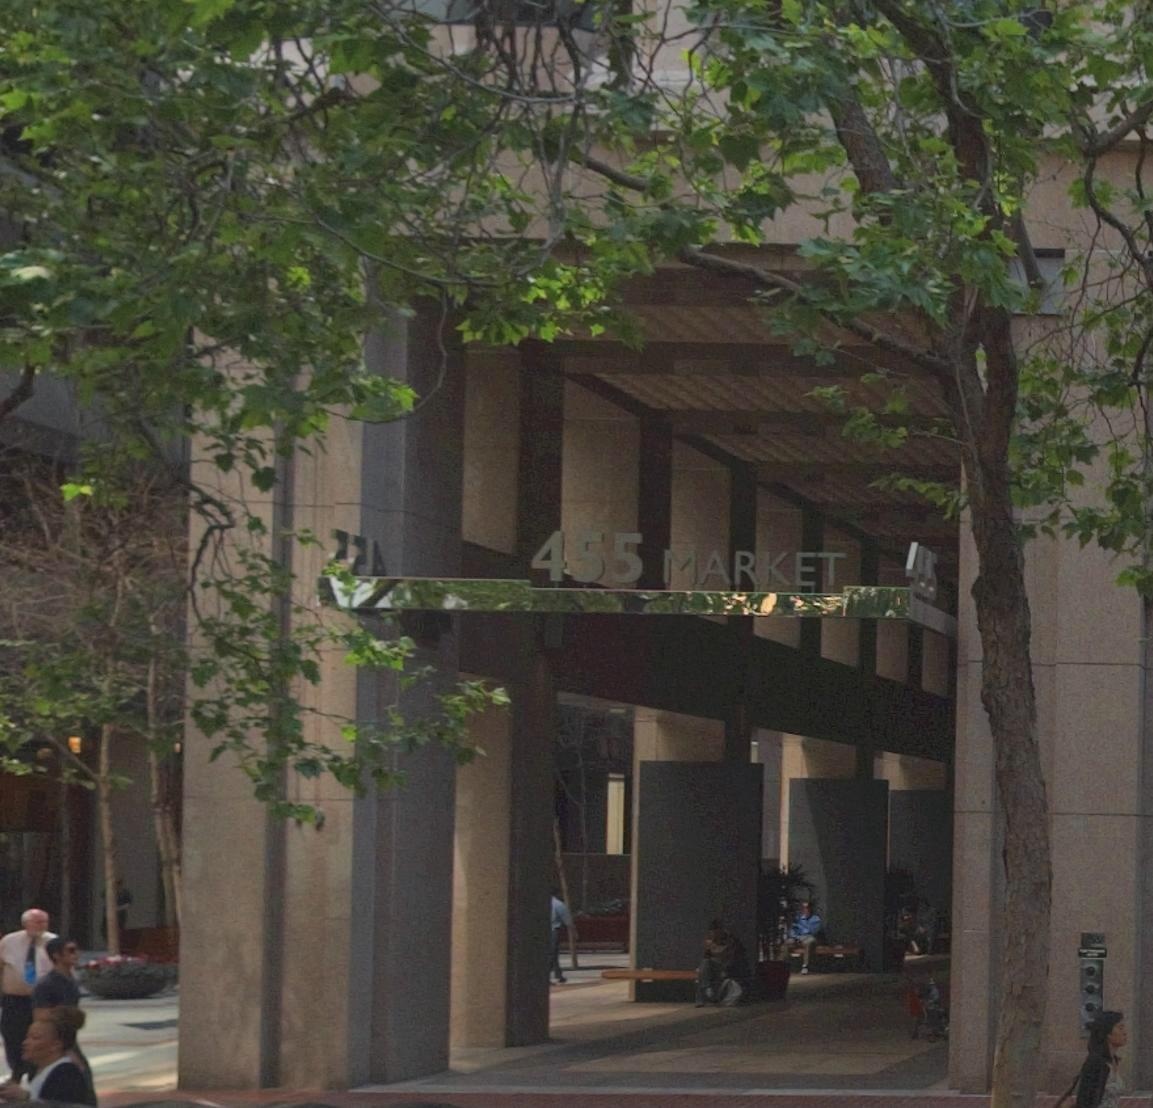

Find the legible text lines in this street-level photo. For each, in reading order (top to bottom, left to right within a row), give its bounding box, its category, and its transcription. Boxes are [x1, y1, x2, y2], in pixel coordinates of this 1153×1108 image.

[529, 529, 645, 588] StreetNumber: 455
[661, 546, 848, 590] StreetName: MARKET
[902, 538, 941, 603] StreetNumber: 455